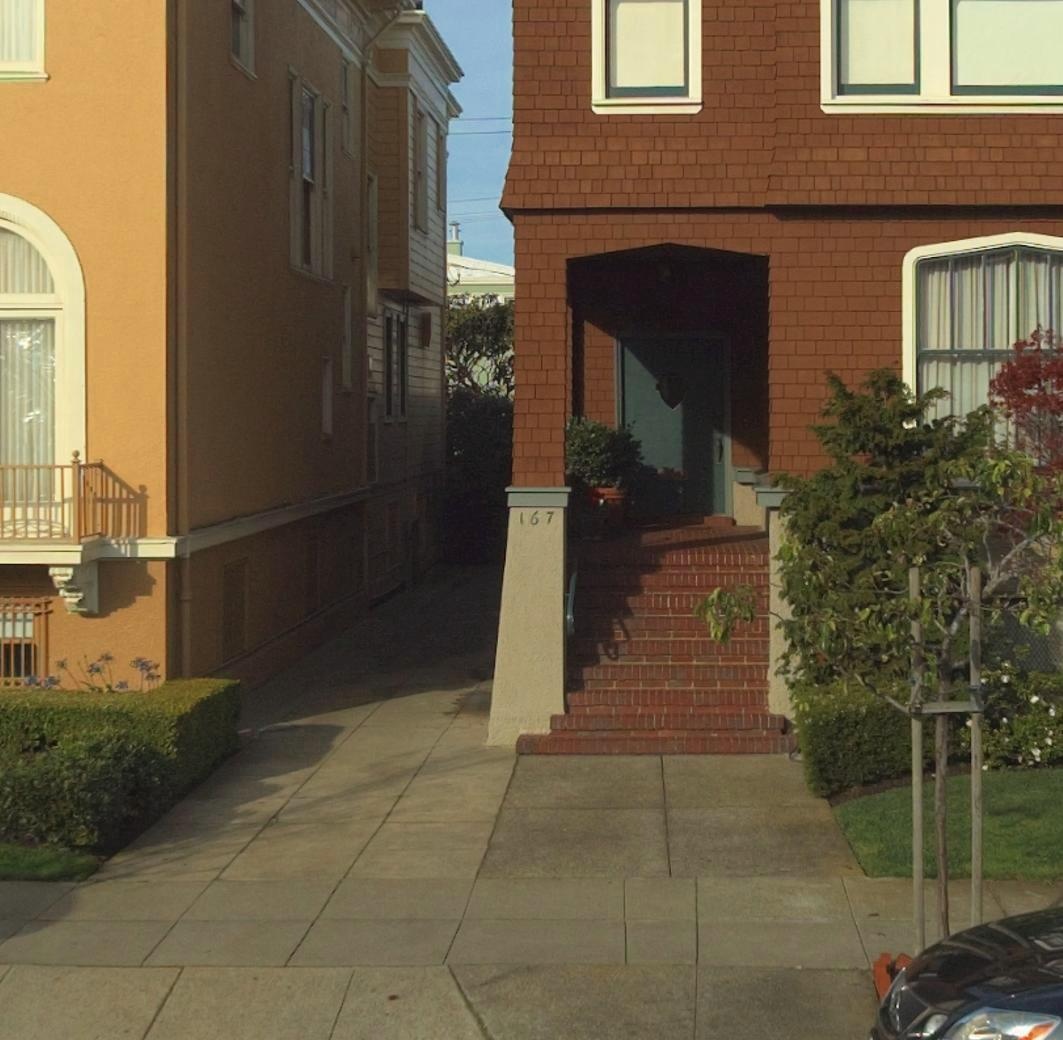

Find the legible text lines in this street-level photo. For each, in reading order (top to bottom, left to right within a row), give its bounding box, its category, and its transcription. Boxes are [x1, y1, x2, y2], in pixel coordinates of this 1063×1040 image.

[517, 508, 557, 528] StreetNumber: 167